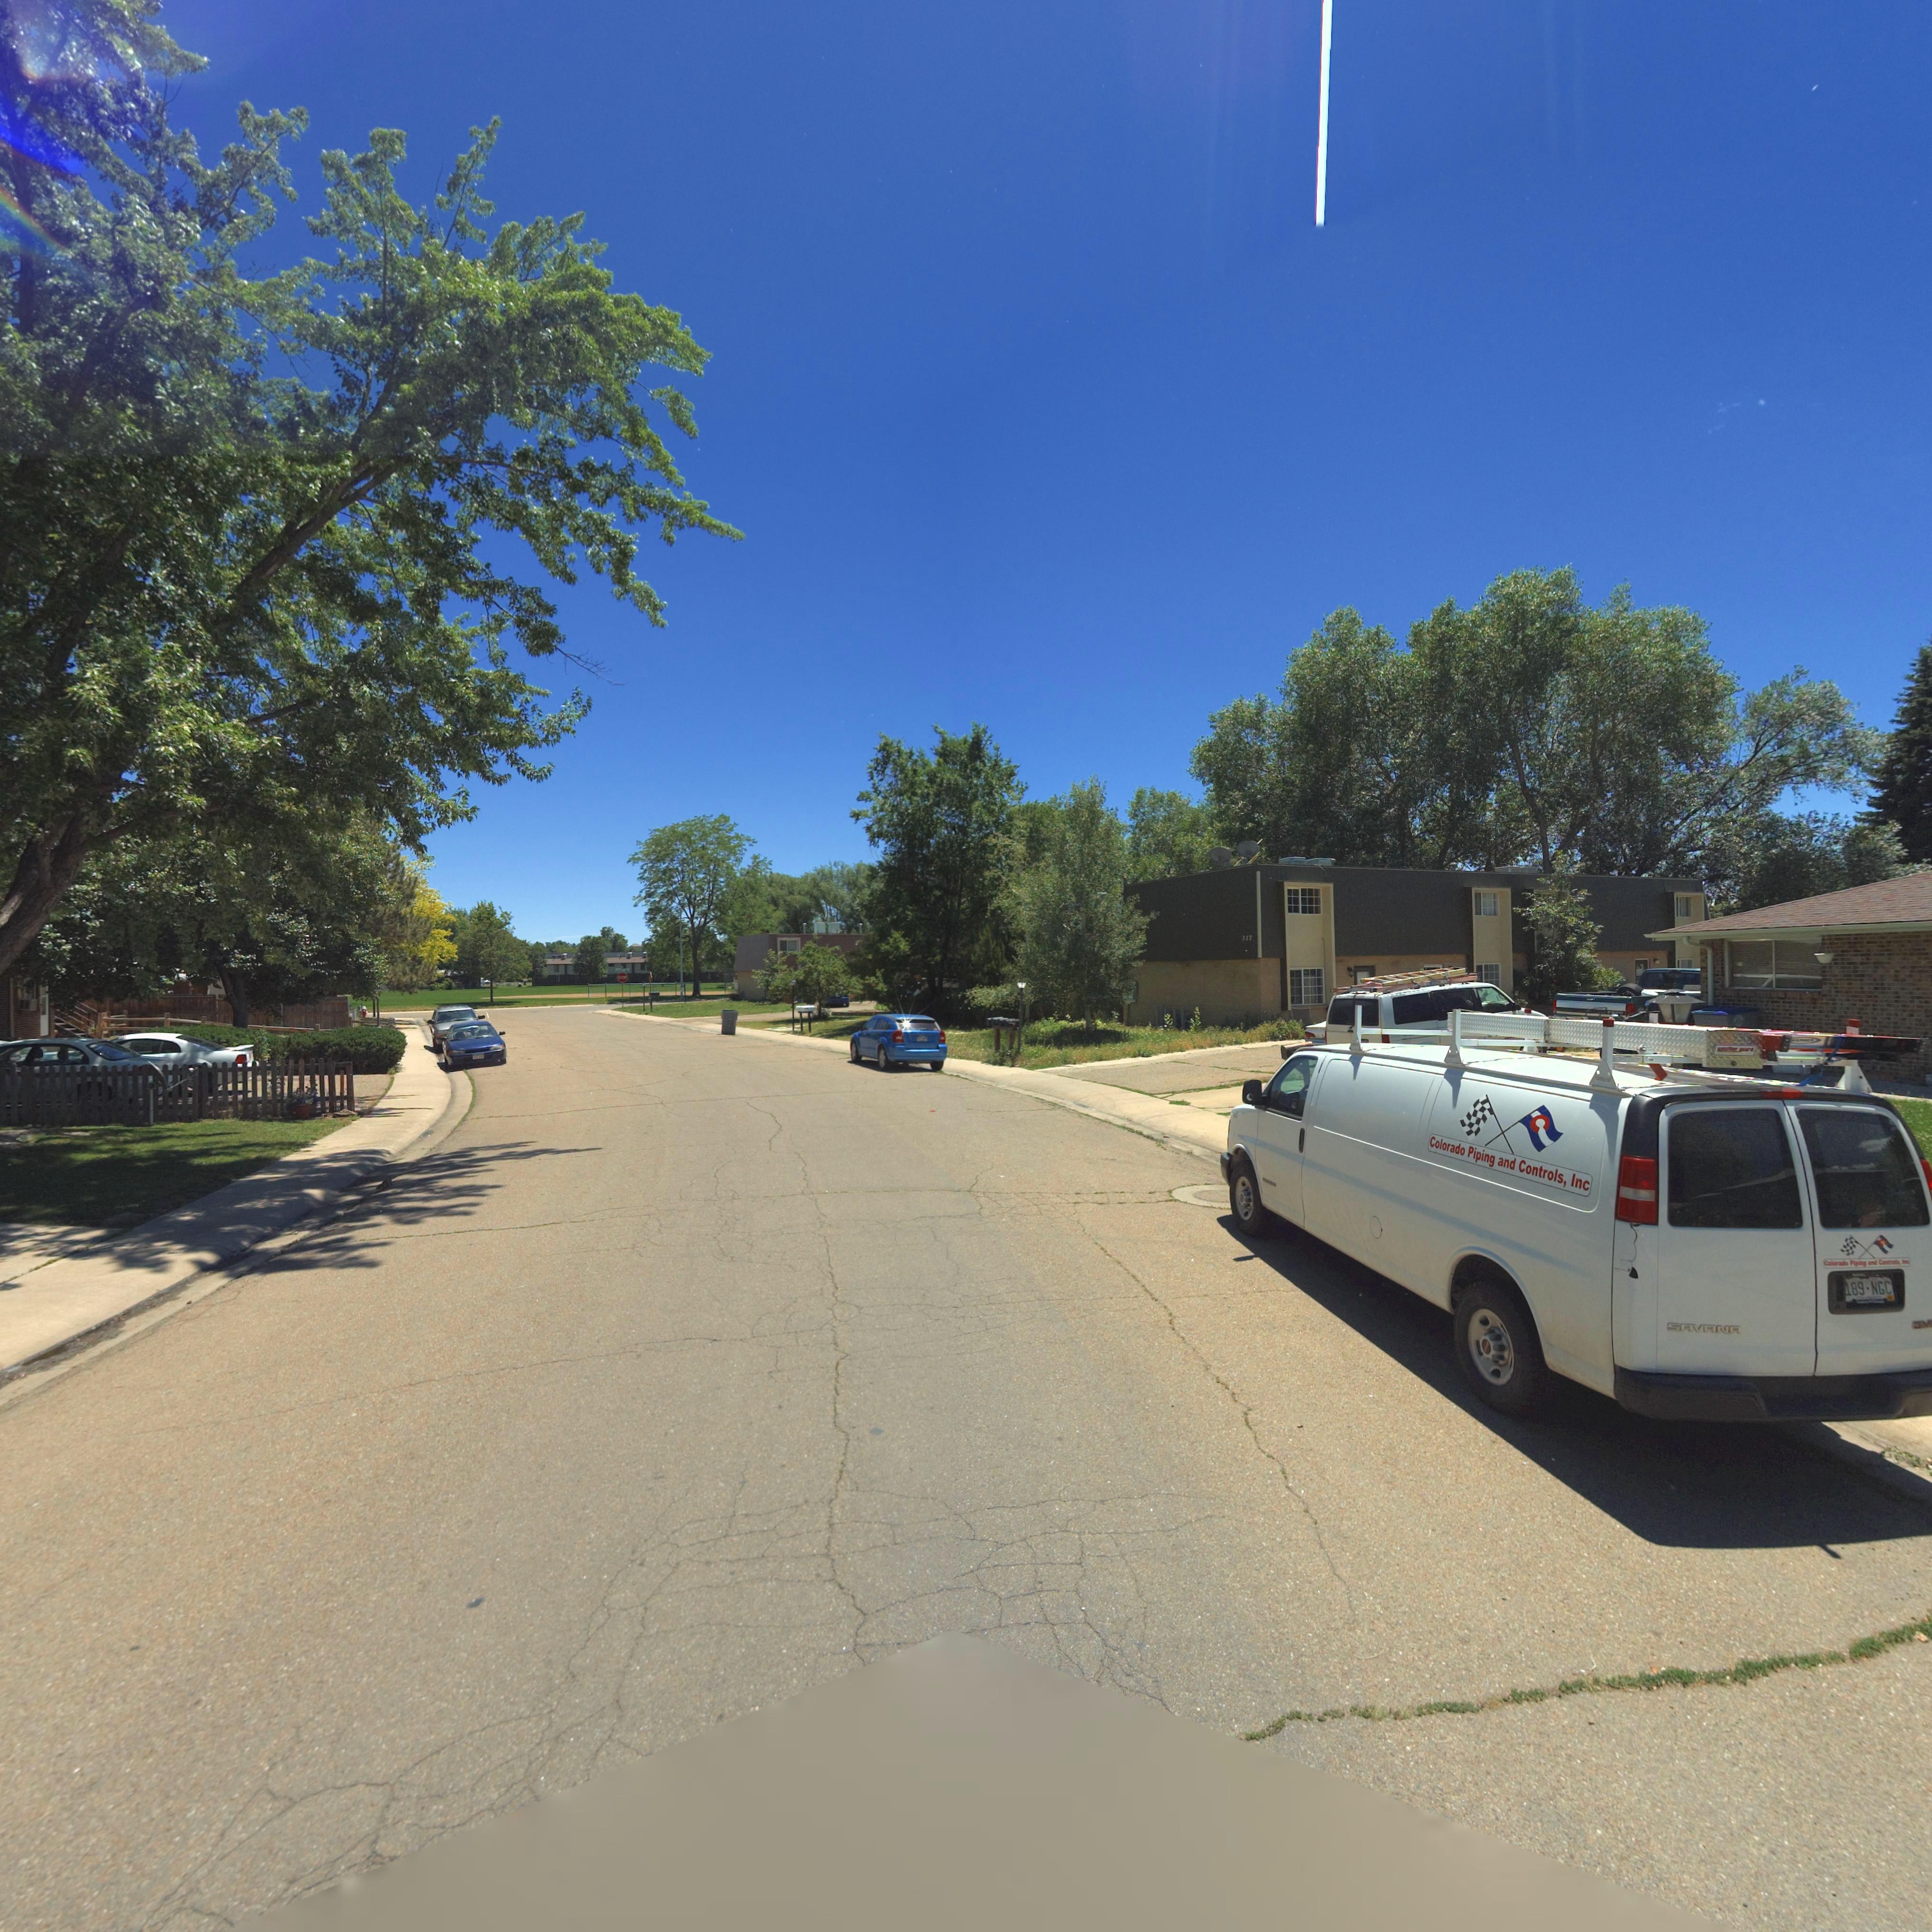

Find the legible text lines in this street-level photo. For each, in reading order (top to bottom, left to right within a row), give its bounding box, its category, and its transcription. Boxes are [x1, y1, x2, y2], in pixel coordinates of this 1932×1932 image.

[1241, 935, 1252, 941] StreetNumber: 317